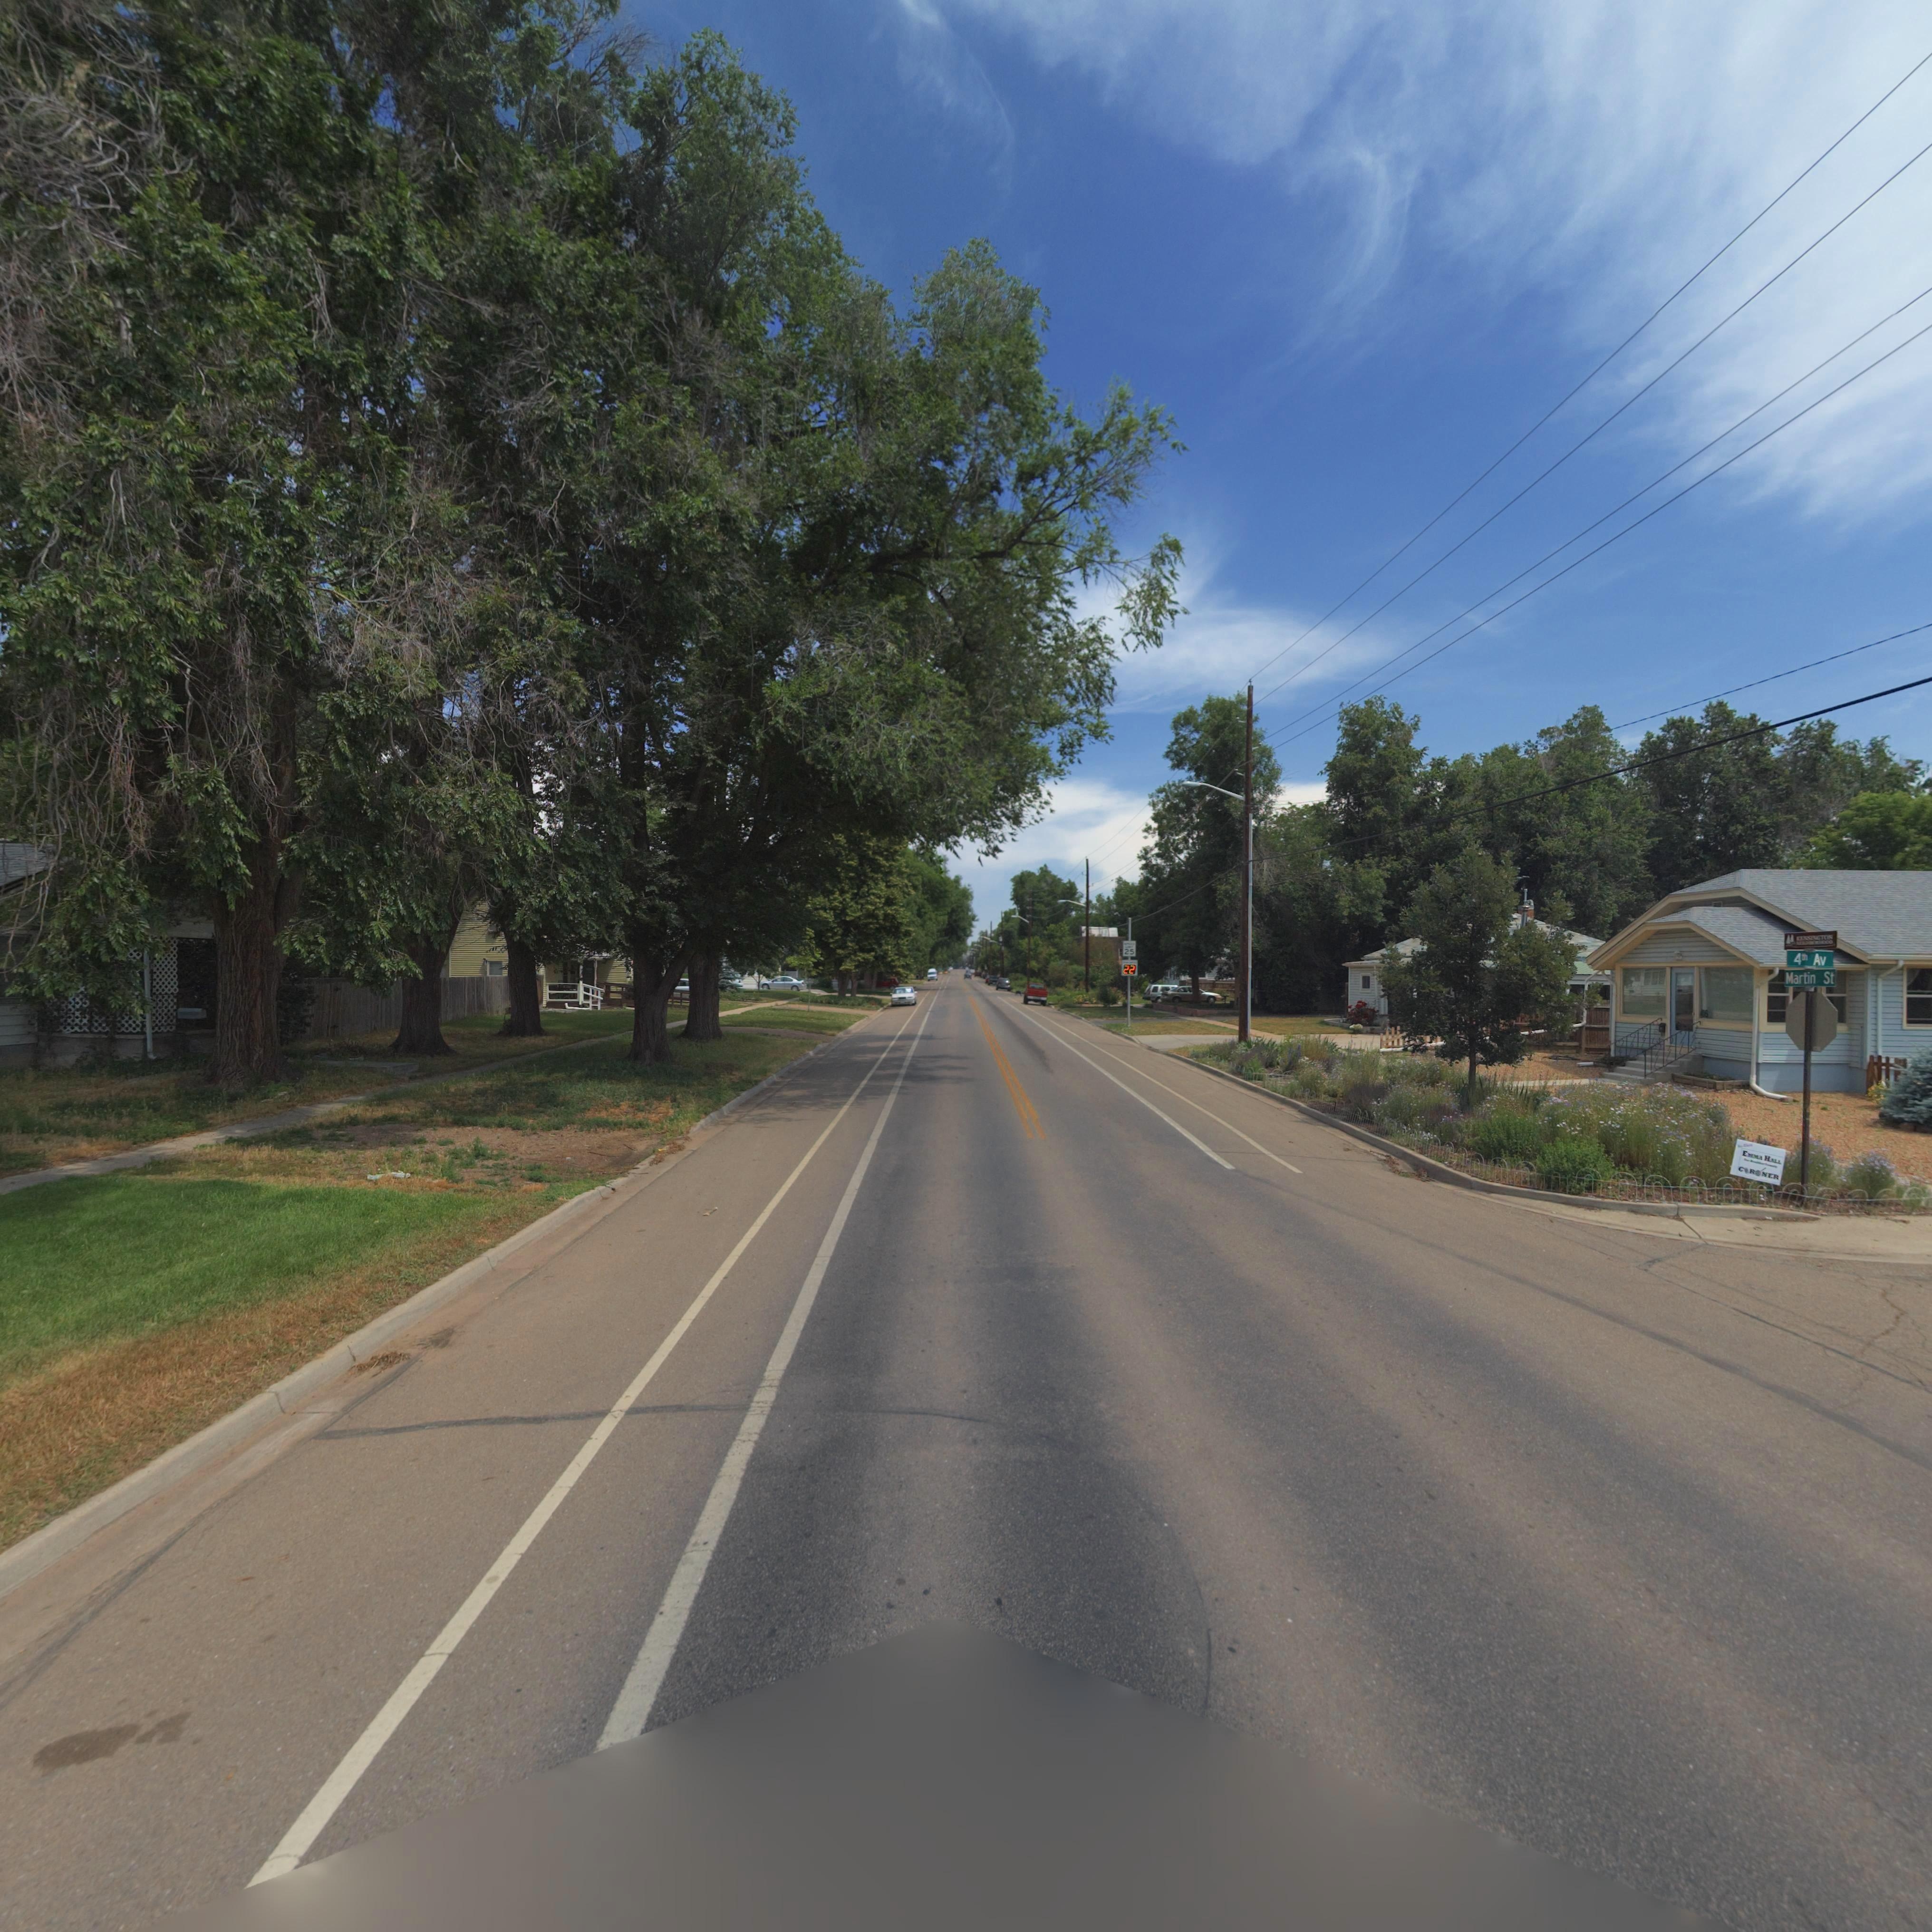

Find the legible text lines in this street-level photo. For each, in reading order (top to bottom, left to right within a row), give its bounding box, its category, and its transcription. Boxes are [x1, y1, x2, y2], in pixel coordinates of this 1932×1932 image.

[1793, 952, 1827, 966] StreetName: 4** Av
[1785, 971, 1835, 985] StreetName: Martin St
[1699, 1009, 1709, 1017] StreetNumber: **6